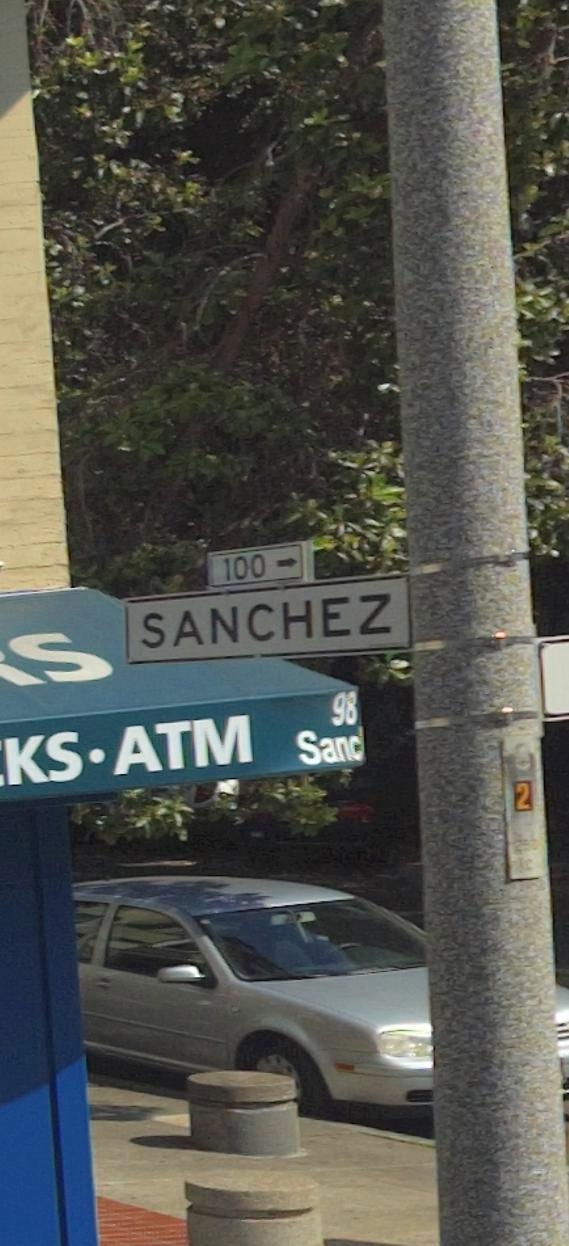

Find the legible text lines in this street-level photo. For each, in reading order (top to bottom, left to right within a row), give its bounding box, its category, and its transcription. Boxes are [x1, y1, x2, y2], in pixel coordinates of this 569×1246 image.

[218, 543, 305, 582] StreetNumberRange: 100->
[135, 588, 401, 654] StreetName: SANCHEZ
[0, 620, 126, 697] None: S
[330, 687, 363, 729] StreetNumber: 98
[0, 711, 258, 789] None: KS ATM
[290, 724, 364, 771] None: Sanc
[509, 780, 534, 813] None: 2